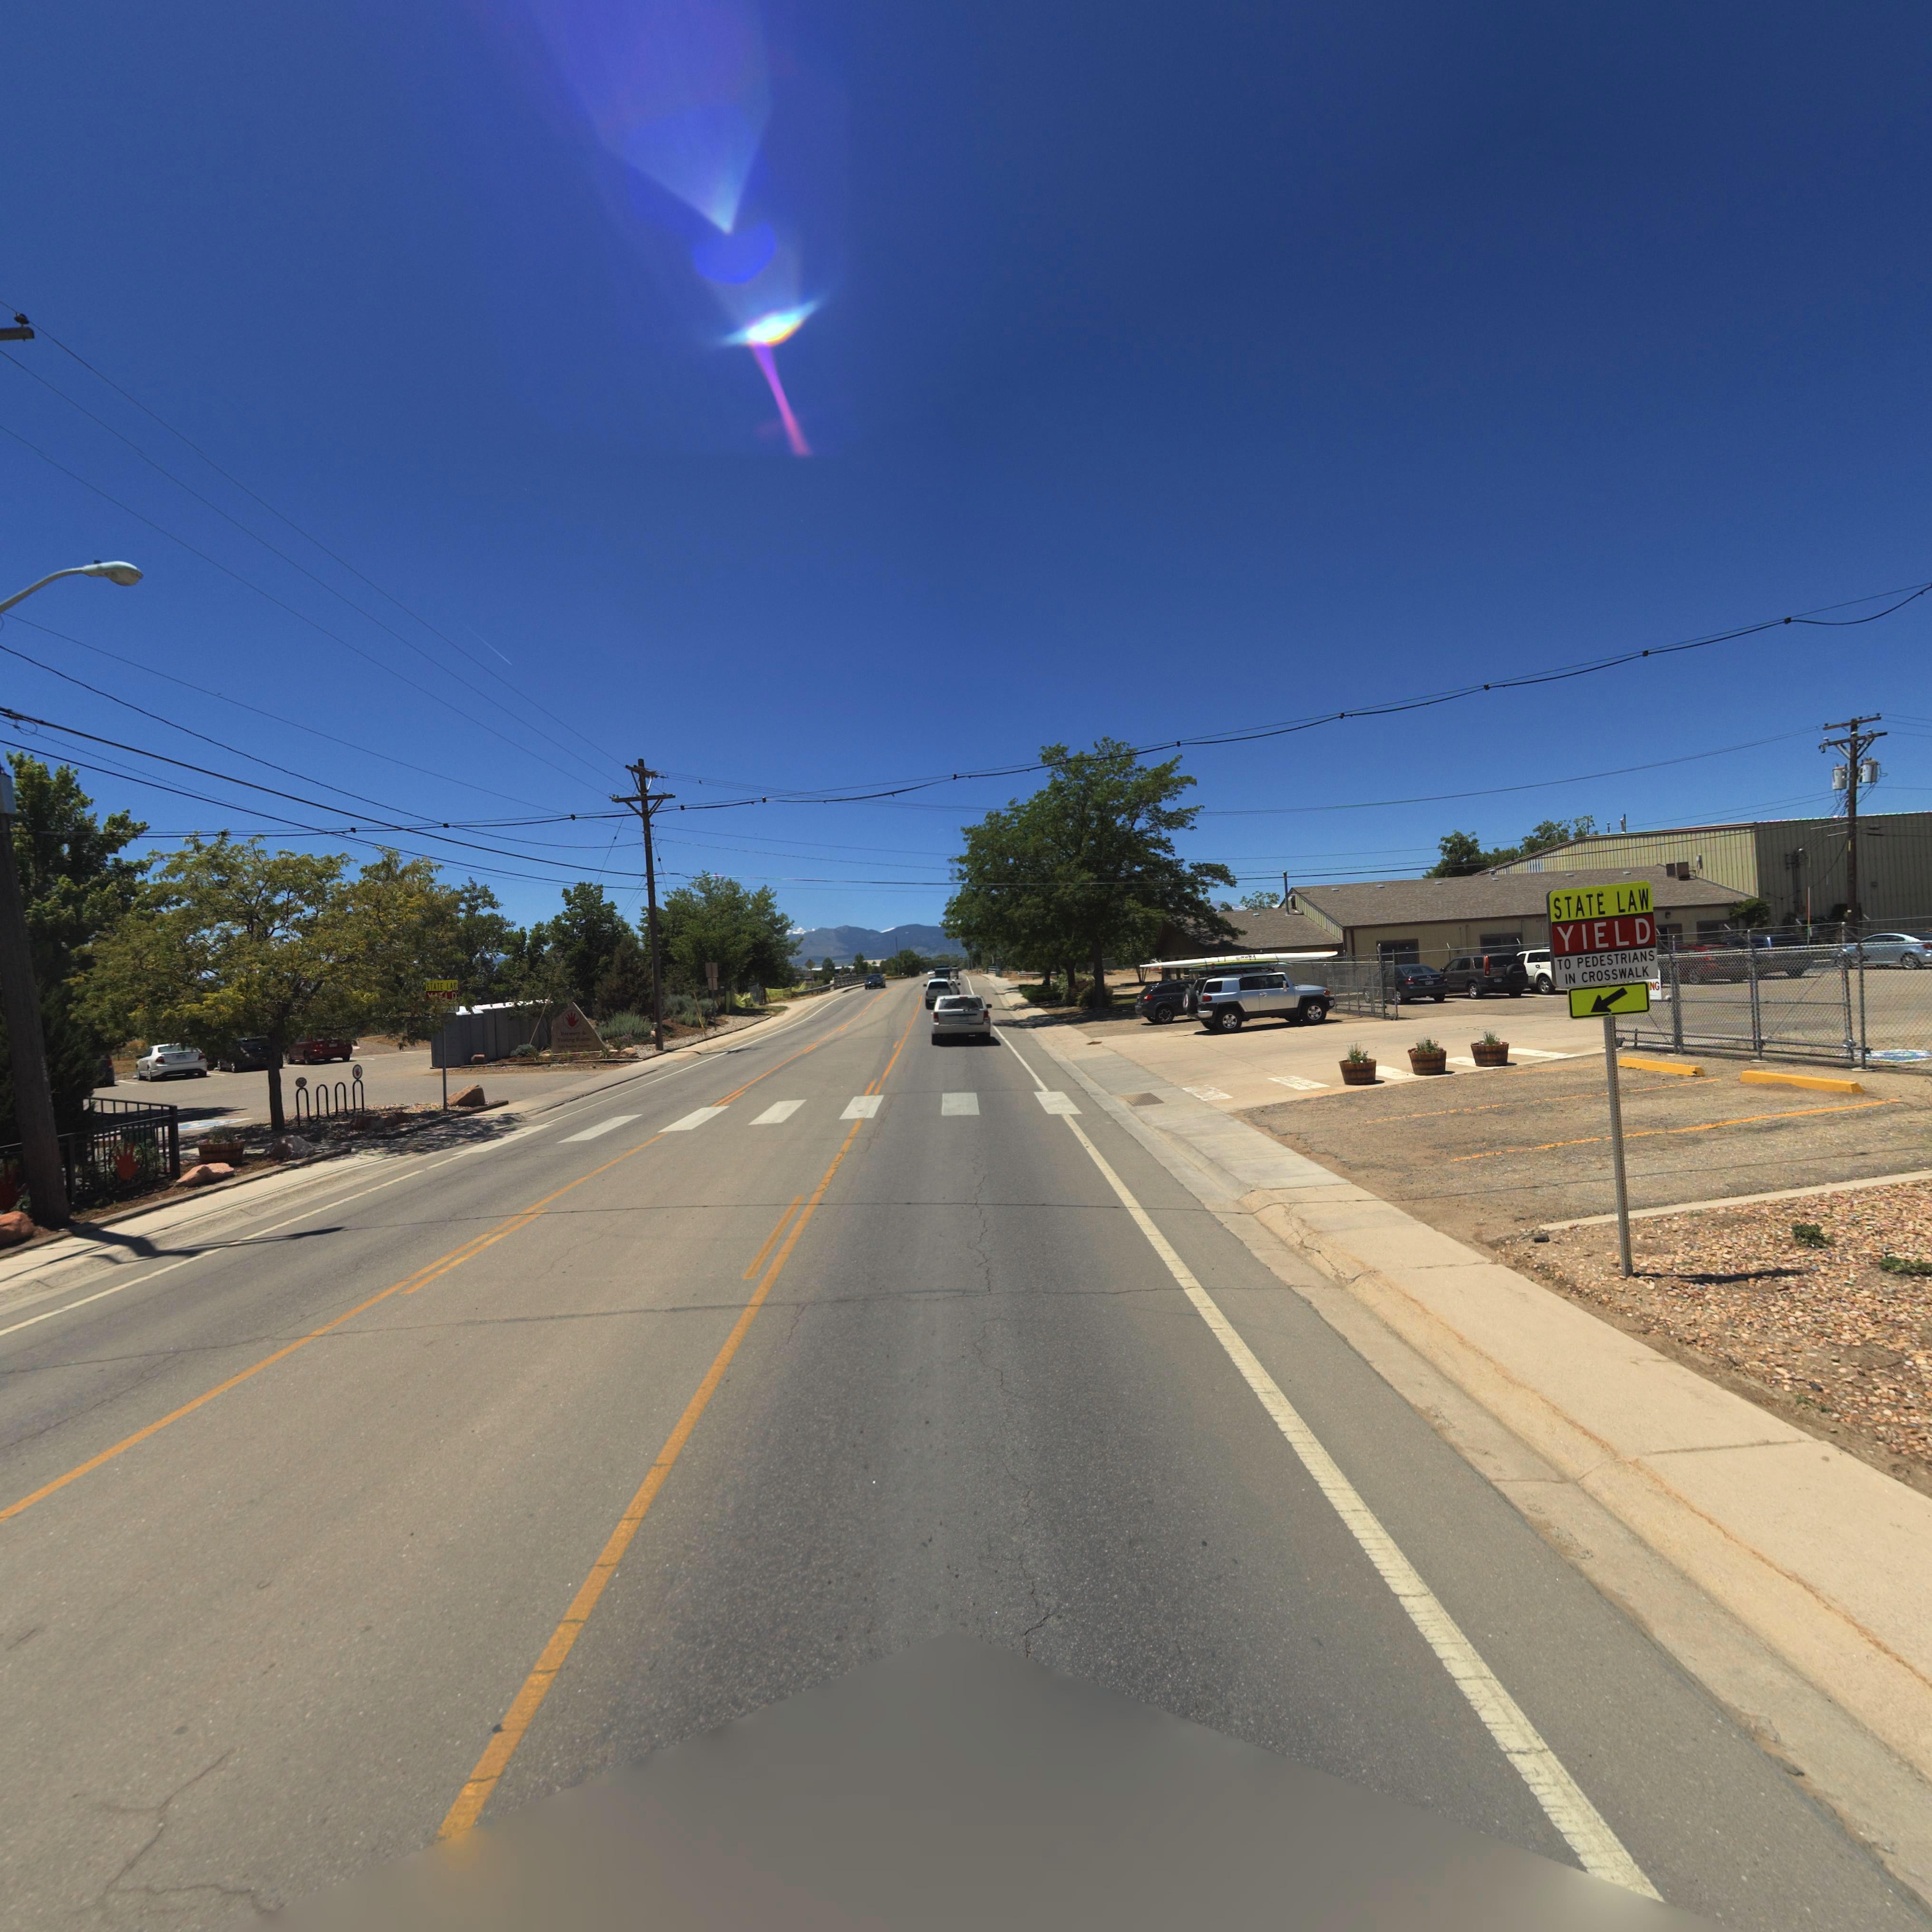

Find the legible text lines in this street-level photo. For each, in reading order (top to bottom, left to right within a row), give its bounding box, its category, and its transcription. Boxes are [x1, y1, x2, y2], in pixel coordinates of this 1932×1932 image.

[565, 1043, 590, 1048] StreetName: Bo***n A*****